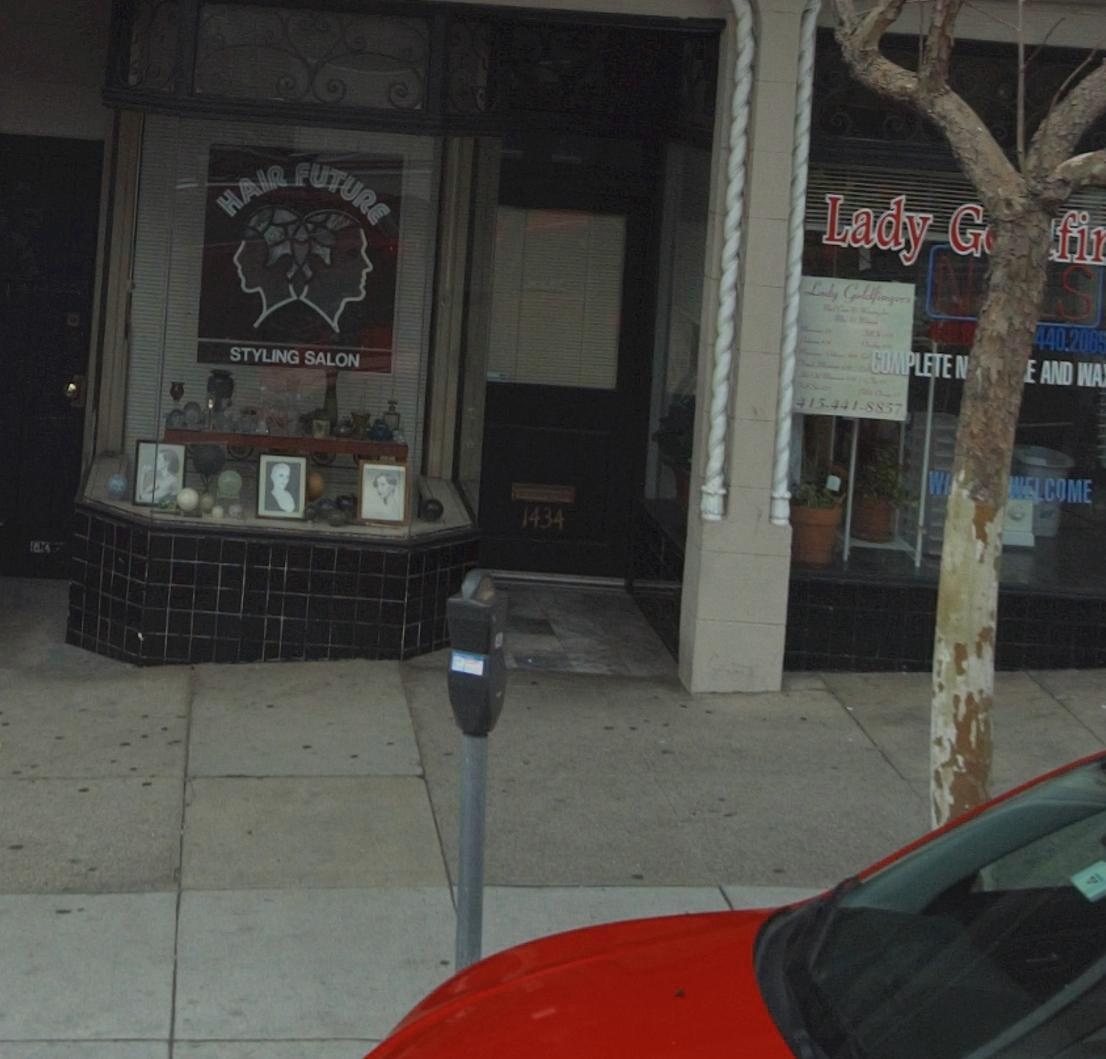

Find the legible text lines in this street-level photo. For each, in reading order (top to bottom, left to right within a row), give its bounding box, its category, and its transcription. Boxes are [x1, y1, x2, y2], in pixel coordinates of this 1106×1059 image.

[213, 160, 394, 228] BusinessName: HAIR FUTURE
[823, 191, 986, 265] BusinessName: Lady G
[1054, 210, 1089, 262] BusinessName: fi
[801, 279, 914, 307] BusinessName: Lady Goldfingers
[1056, 262, 1096, 323] None: S
[1032, 324, 1101, 354] None: 440.206
[229, 345, 361, 368] BusinessName: STYLING SALON
[870, 348, 971, 380] None: COMPLETE N
[1037, 358, 1104, 388] None: AND WA
[792, 394, 906, 417] None: 415-441-8857
[927, 469, 948, 497] None: W
[1008, 474, 1094, 504] None: WELCOME
[518, 504, 567, 532] StreetNumber: 1434